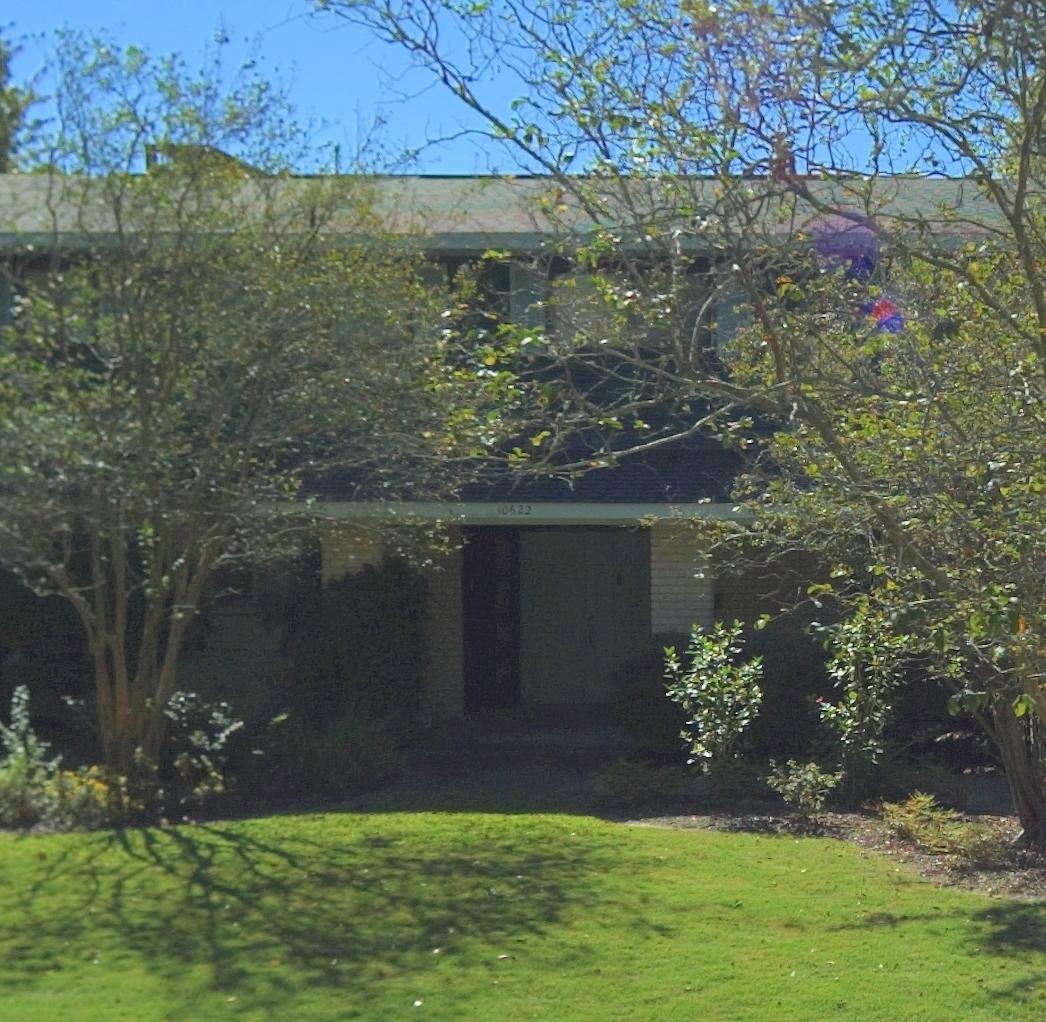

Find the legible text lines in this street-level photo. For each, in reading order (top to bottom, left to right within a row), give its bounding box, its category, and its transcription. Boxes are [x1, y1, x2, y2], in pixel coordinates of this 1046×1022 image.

[495, 503, 533, 517] StreetNumber: 10622